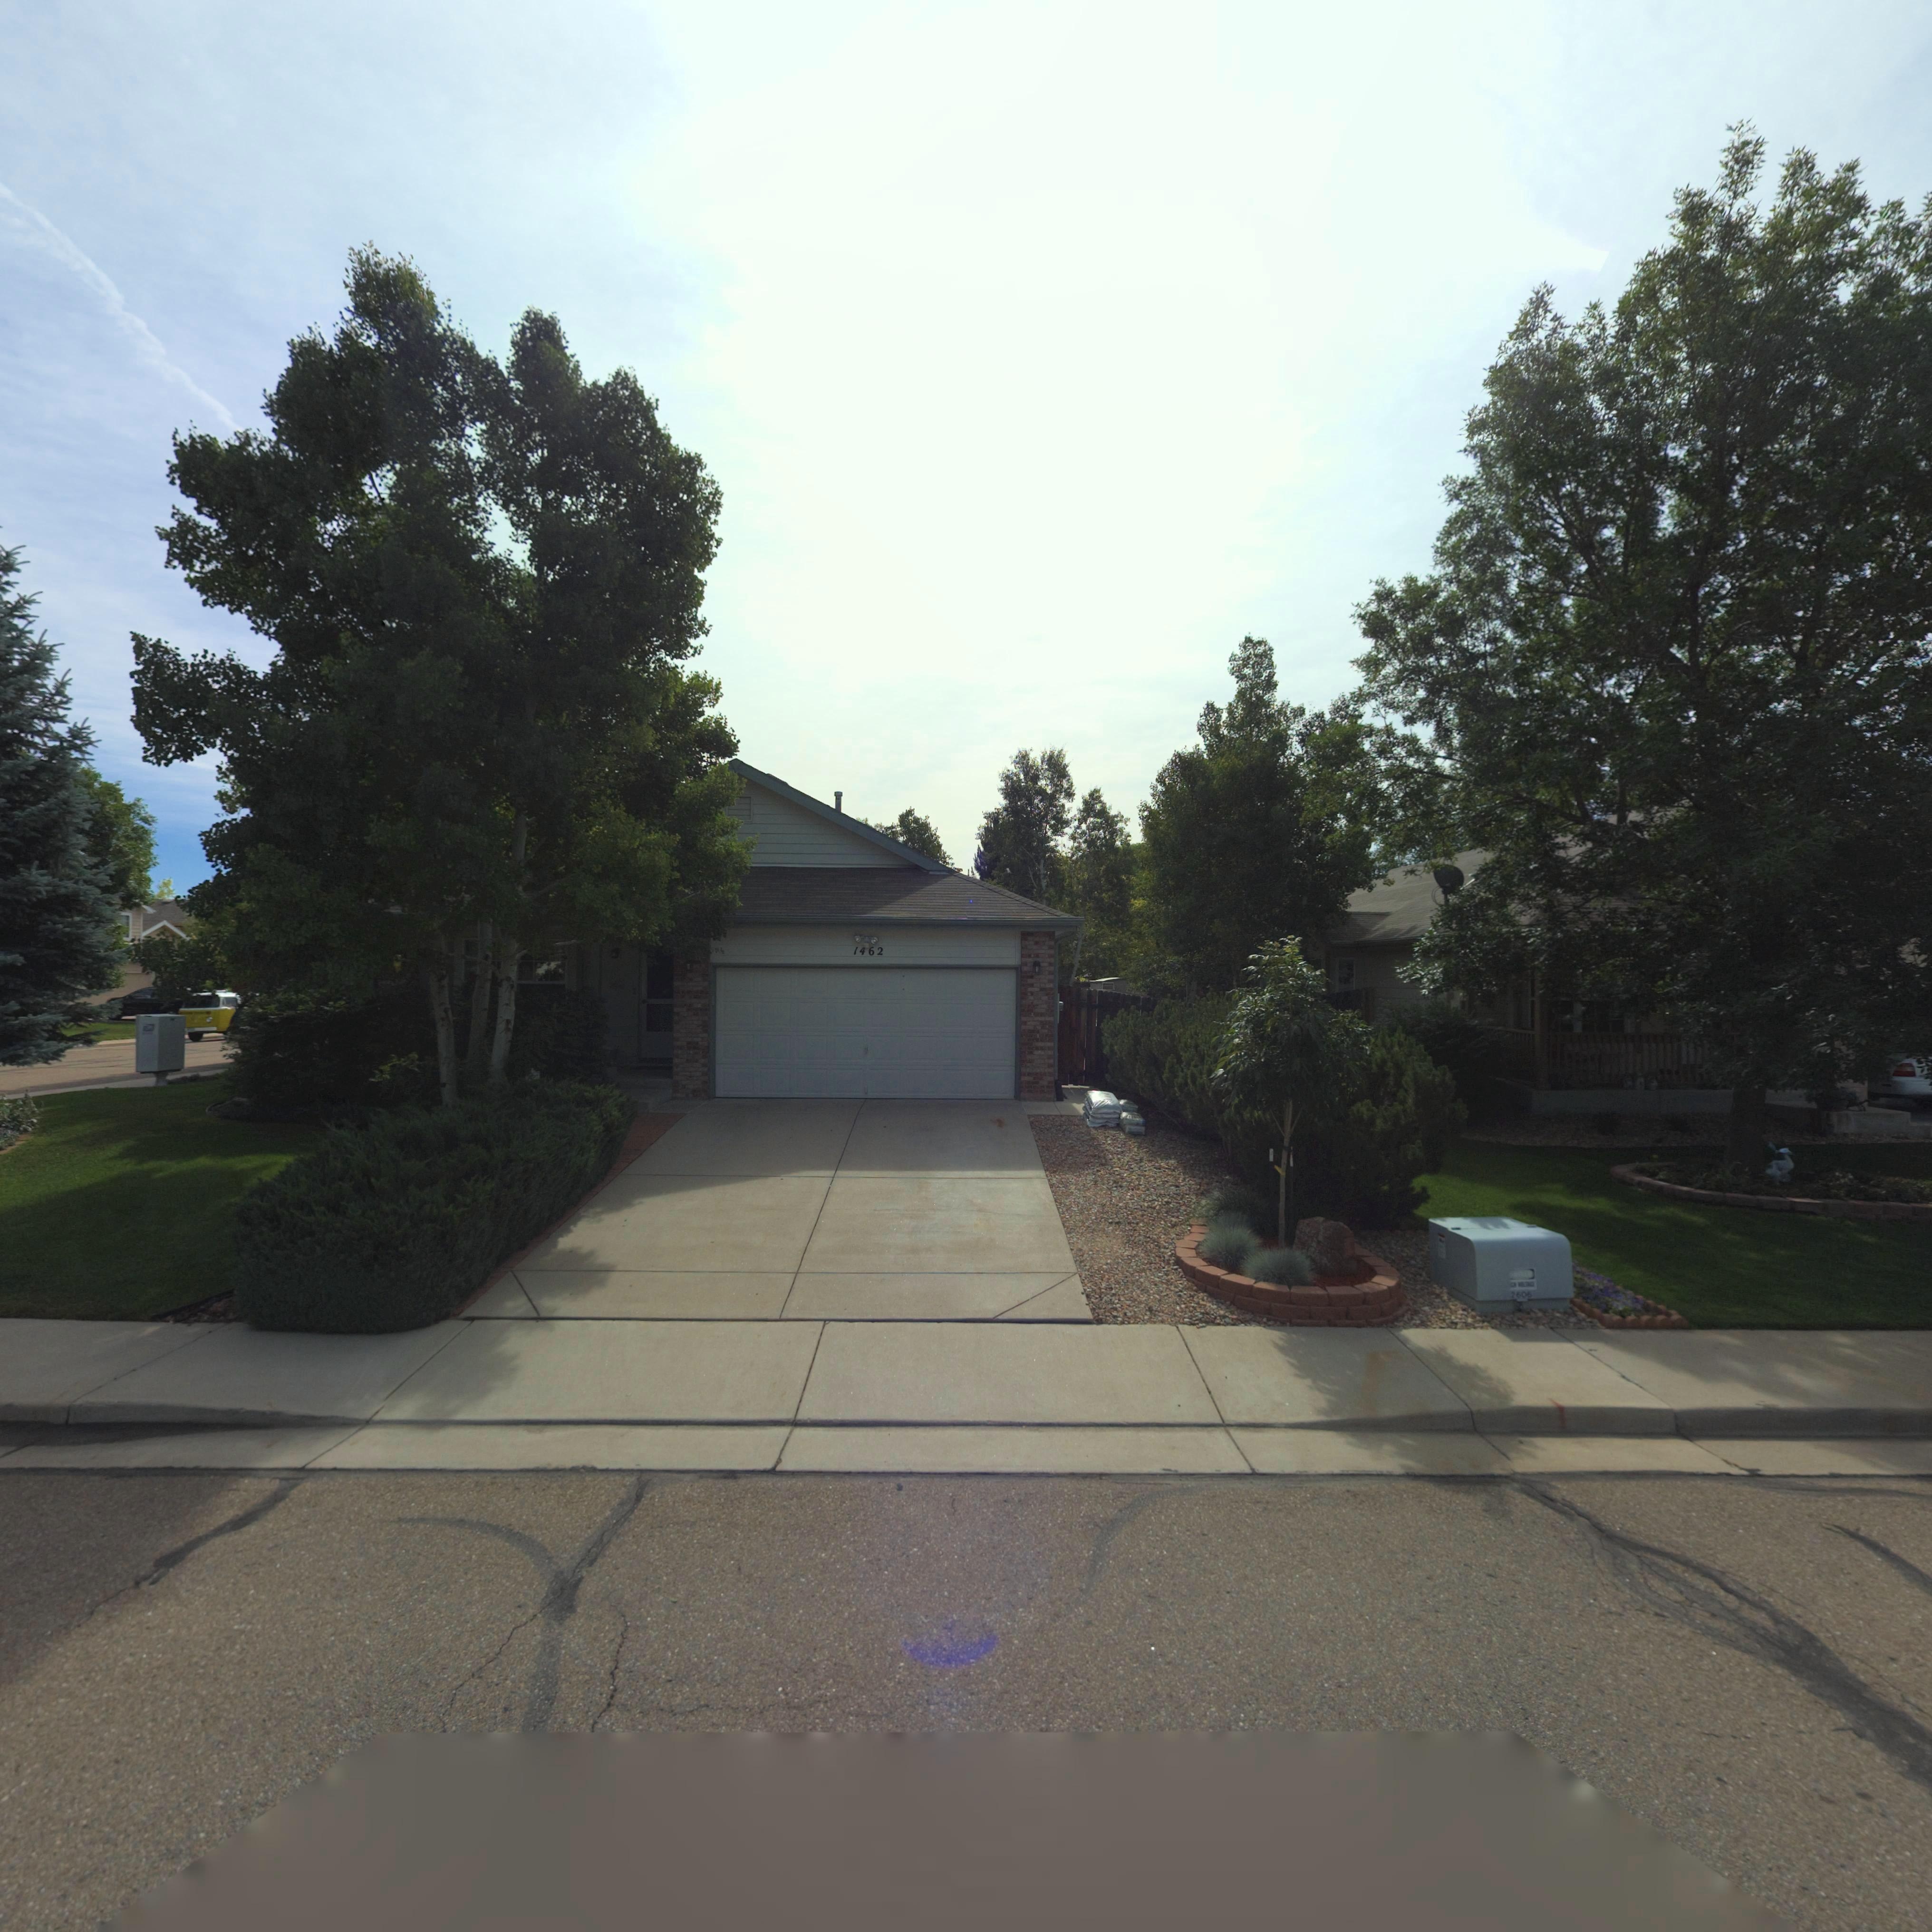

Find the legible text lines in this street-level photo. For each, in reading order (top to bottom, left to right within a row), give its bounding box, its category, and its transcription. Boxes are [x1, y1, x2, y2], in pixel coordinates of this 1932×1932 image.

[852, 946, 884, 956] StreetNumber: 1462